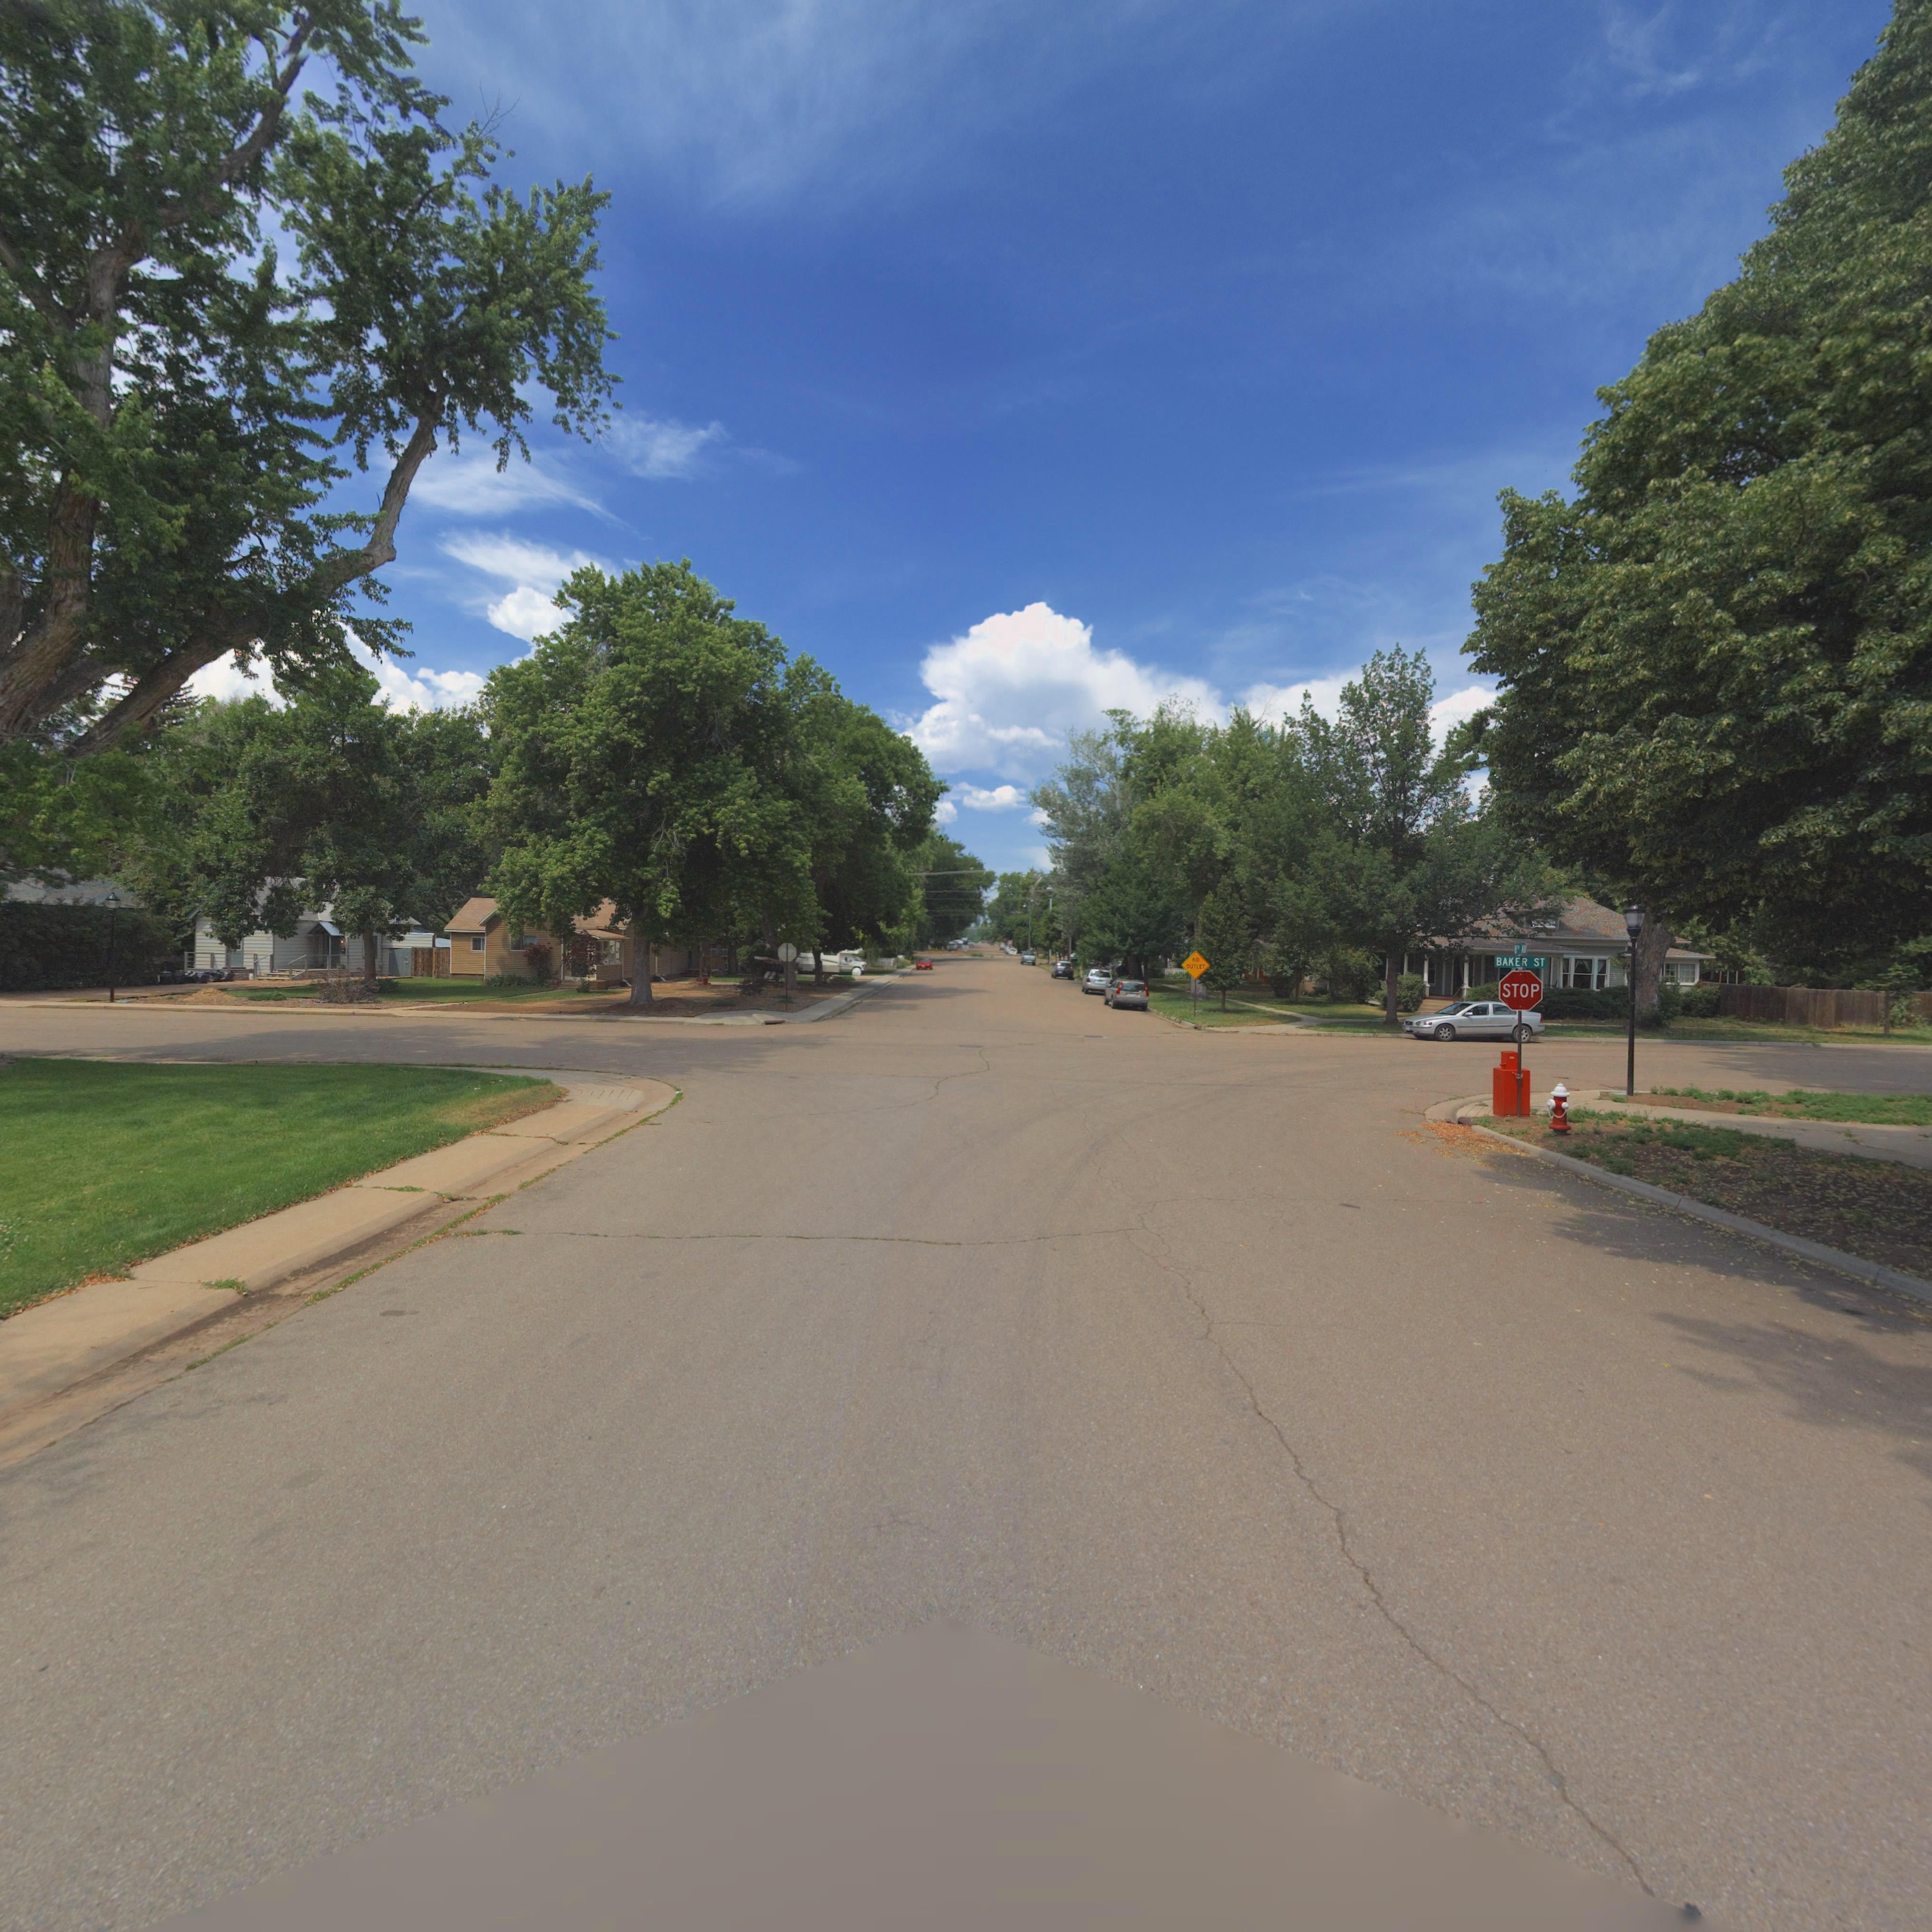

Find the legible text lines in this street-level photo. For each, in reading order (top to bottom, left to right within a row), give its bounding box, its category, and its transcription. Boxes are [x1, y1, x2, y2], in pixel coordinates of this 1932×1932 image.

[1514, 944, 1526, 954] StreetName: 8TH AV
[1496, 956, 1546, 966] StreetName: BAKER ST